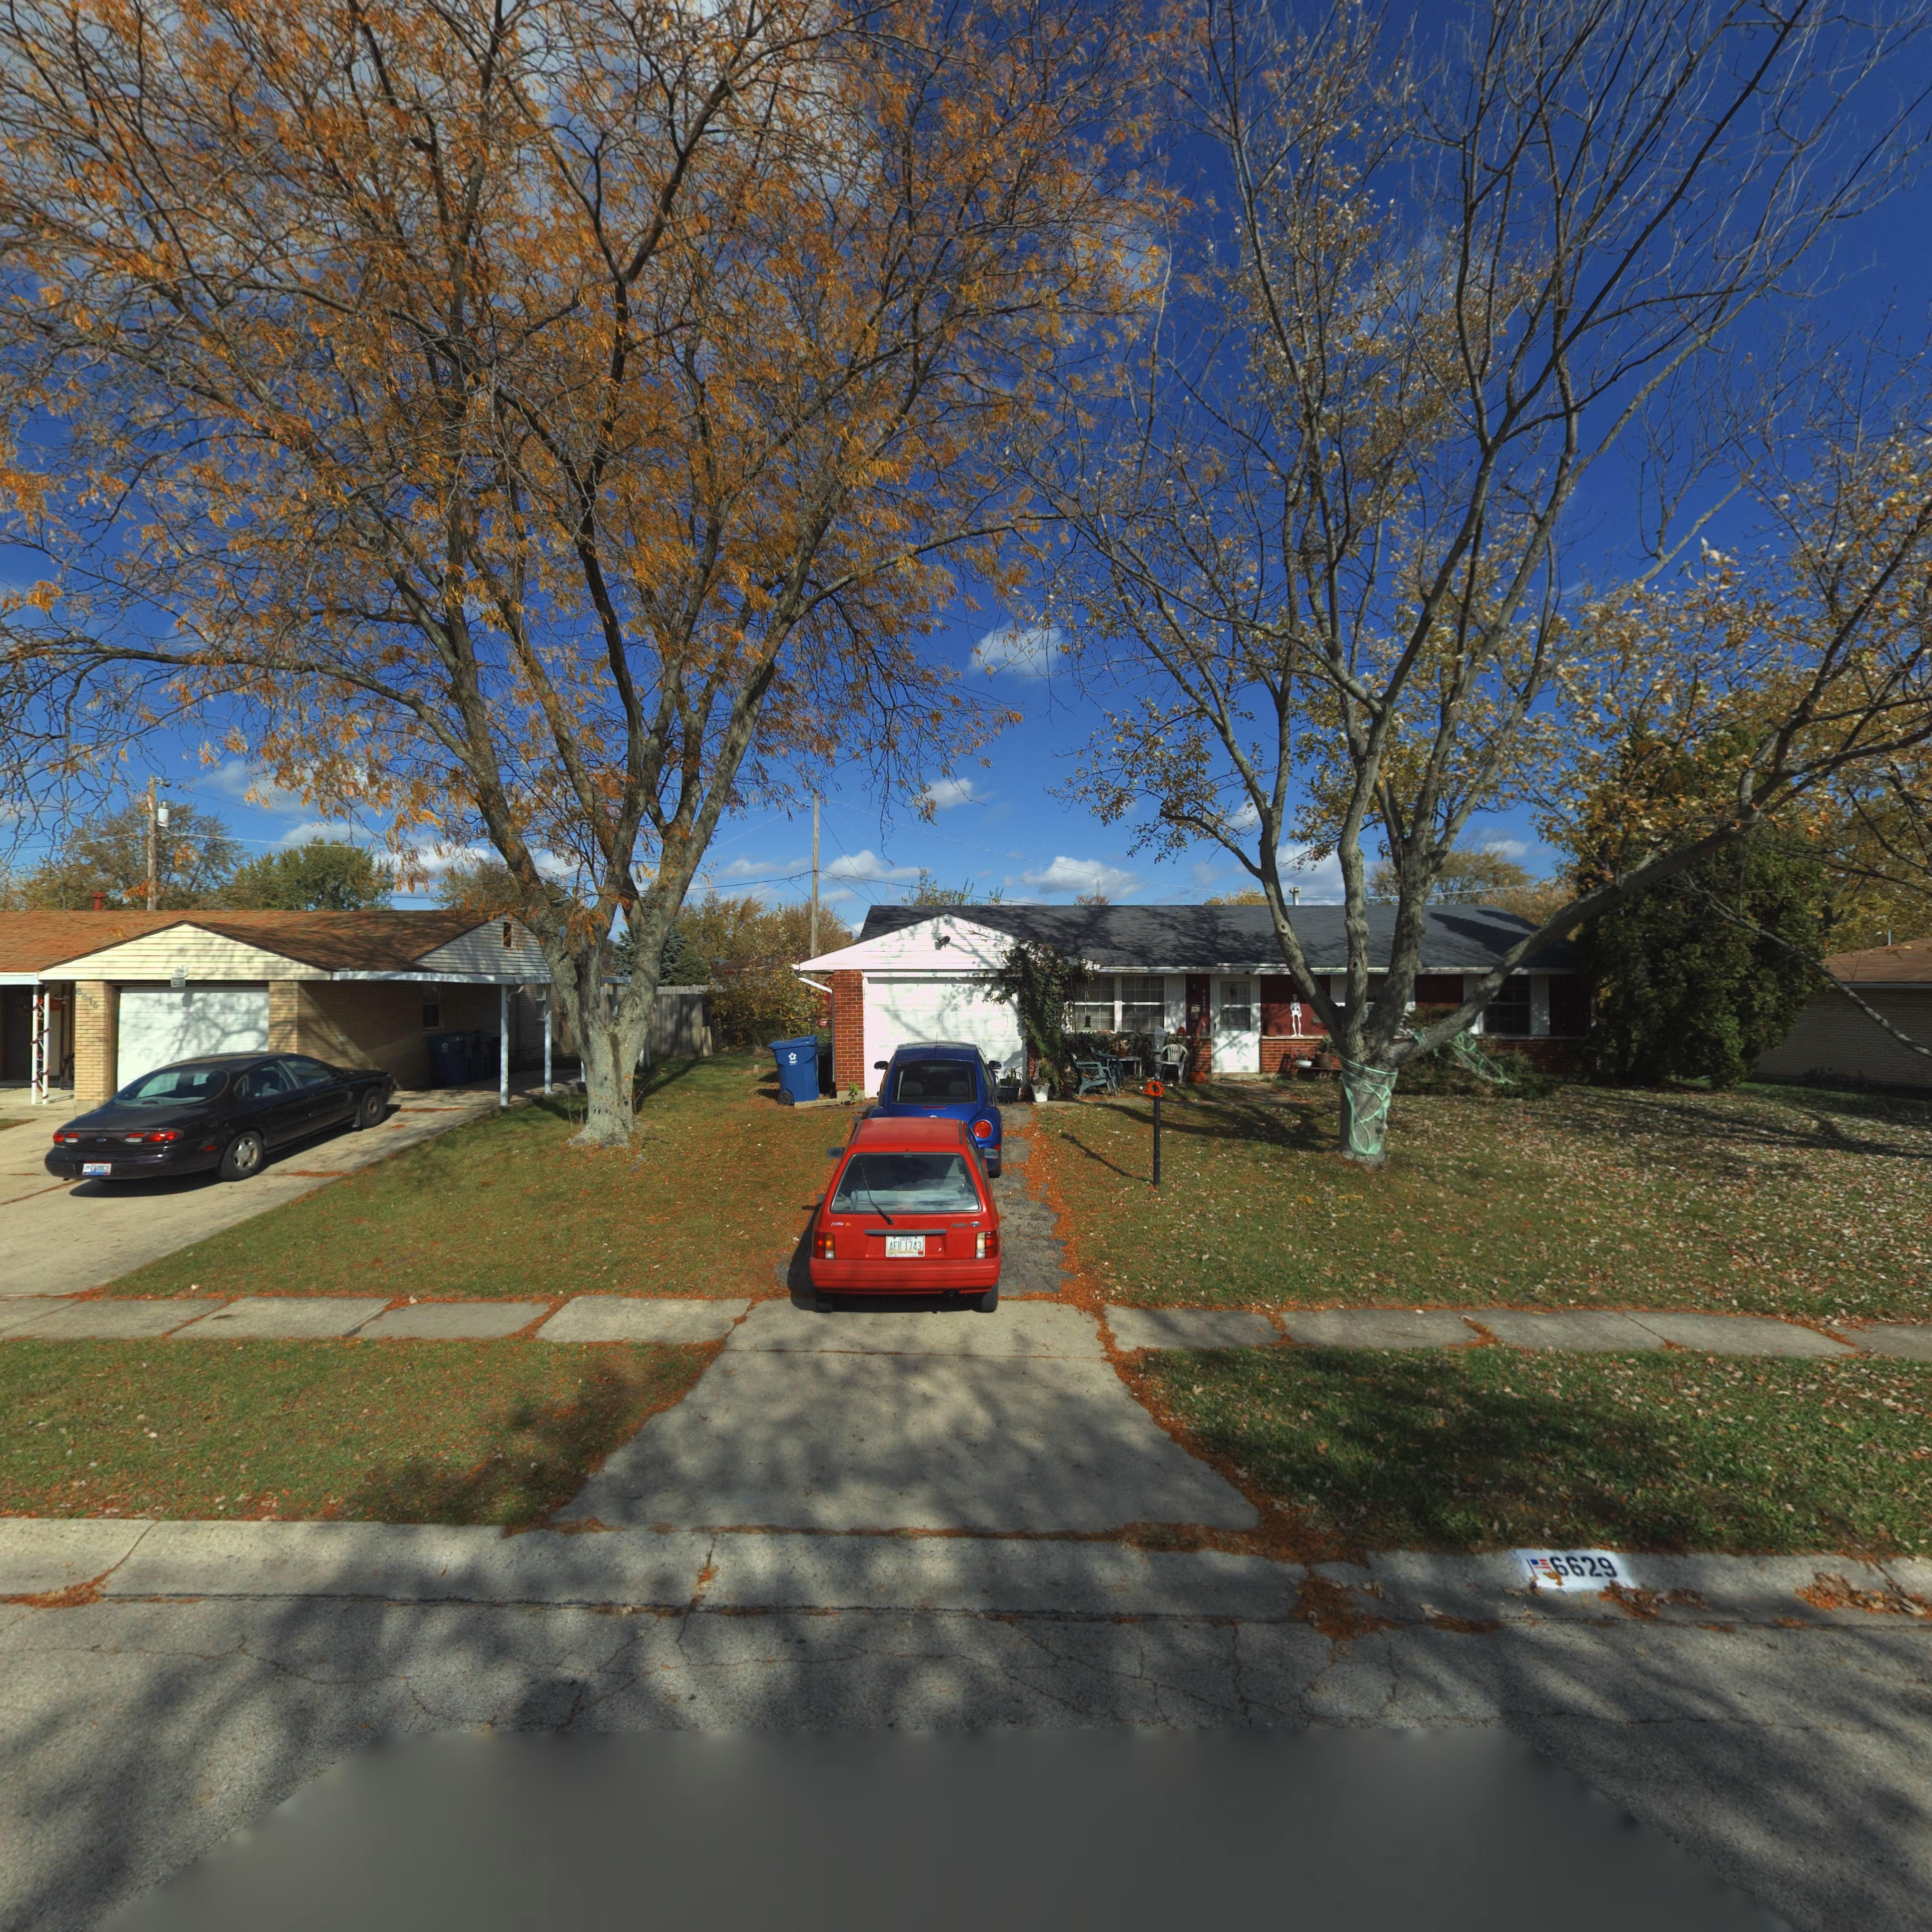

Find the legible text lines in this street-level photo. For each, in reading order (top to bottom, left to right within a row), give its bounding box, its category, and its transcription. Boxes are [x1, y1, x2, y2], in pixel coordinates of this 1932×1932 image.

[1202, 986, 1207, 1014] StreetNumber: 6629
[1548, 1556, 1619, 1578] StreetNumber: 6629